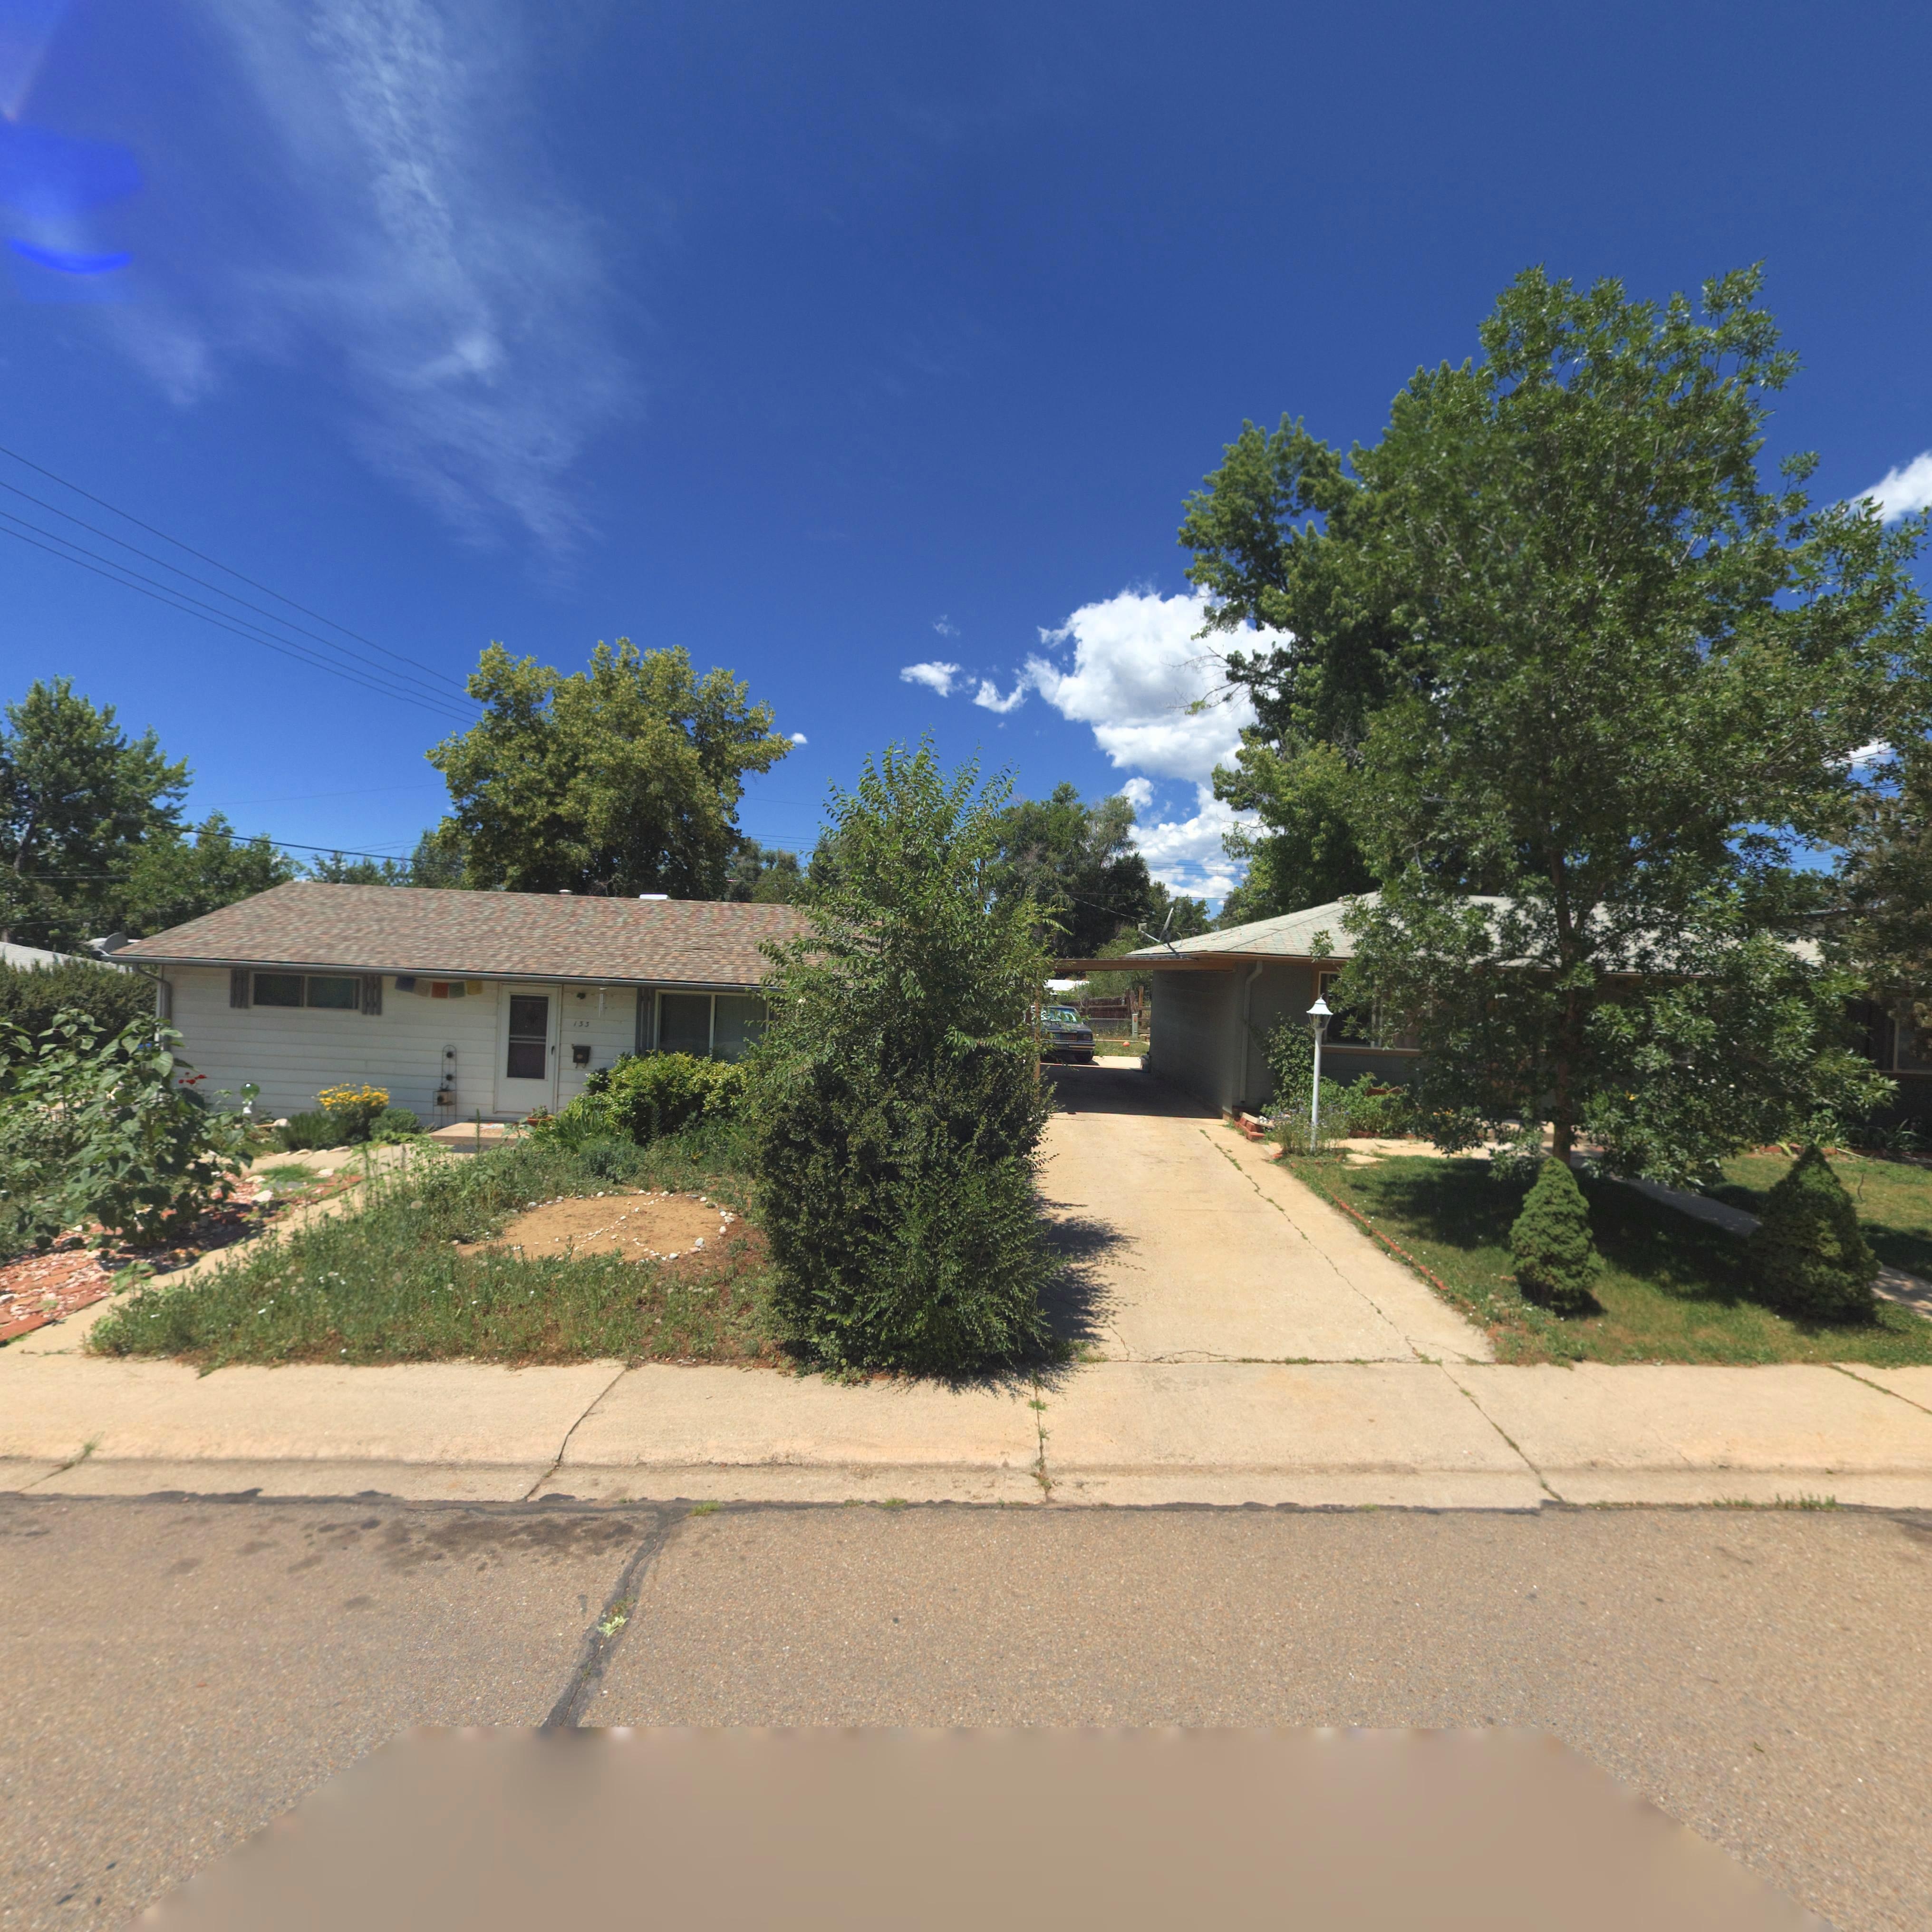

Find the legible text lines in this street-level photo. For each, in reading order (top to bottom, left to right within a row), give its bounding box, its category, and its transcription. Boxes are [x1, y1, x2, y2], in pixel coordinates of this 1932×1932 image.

[572, 1021, 589, 1027] StreetNumber: 133